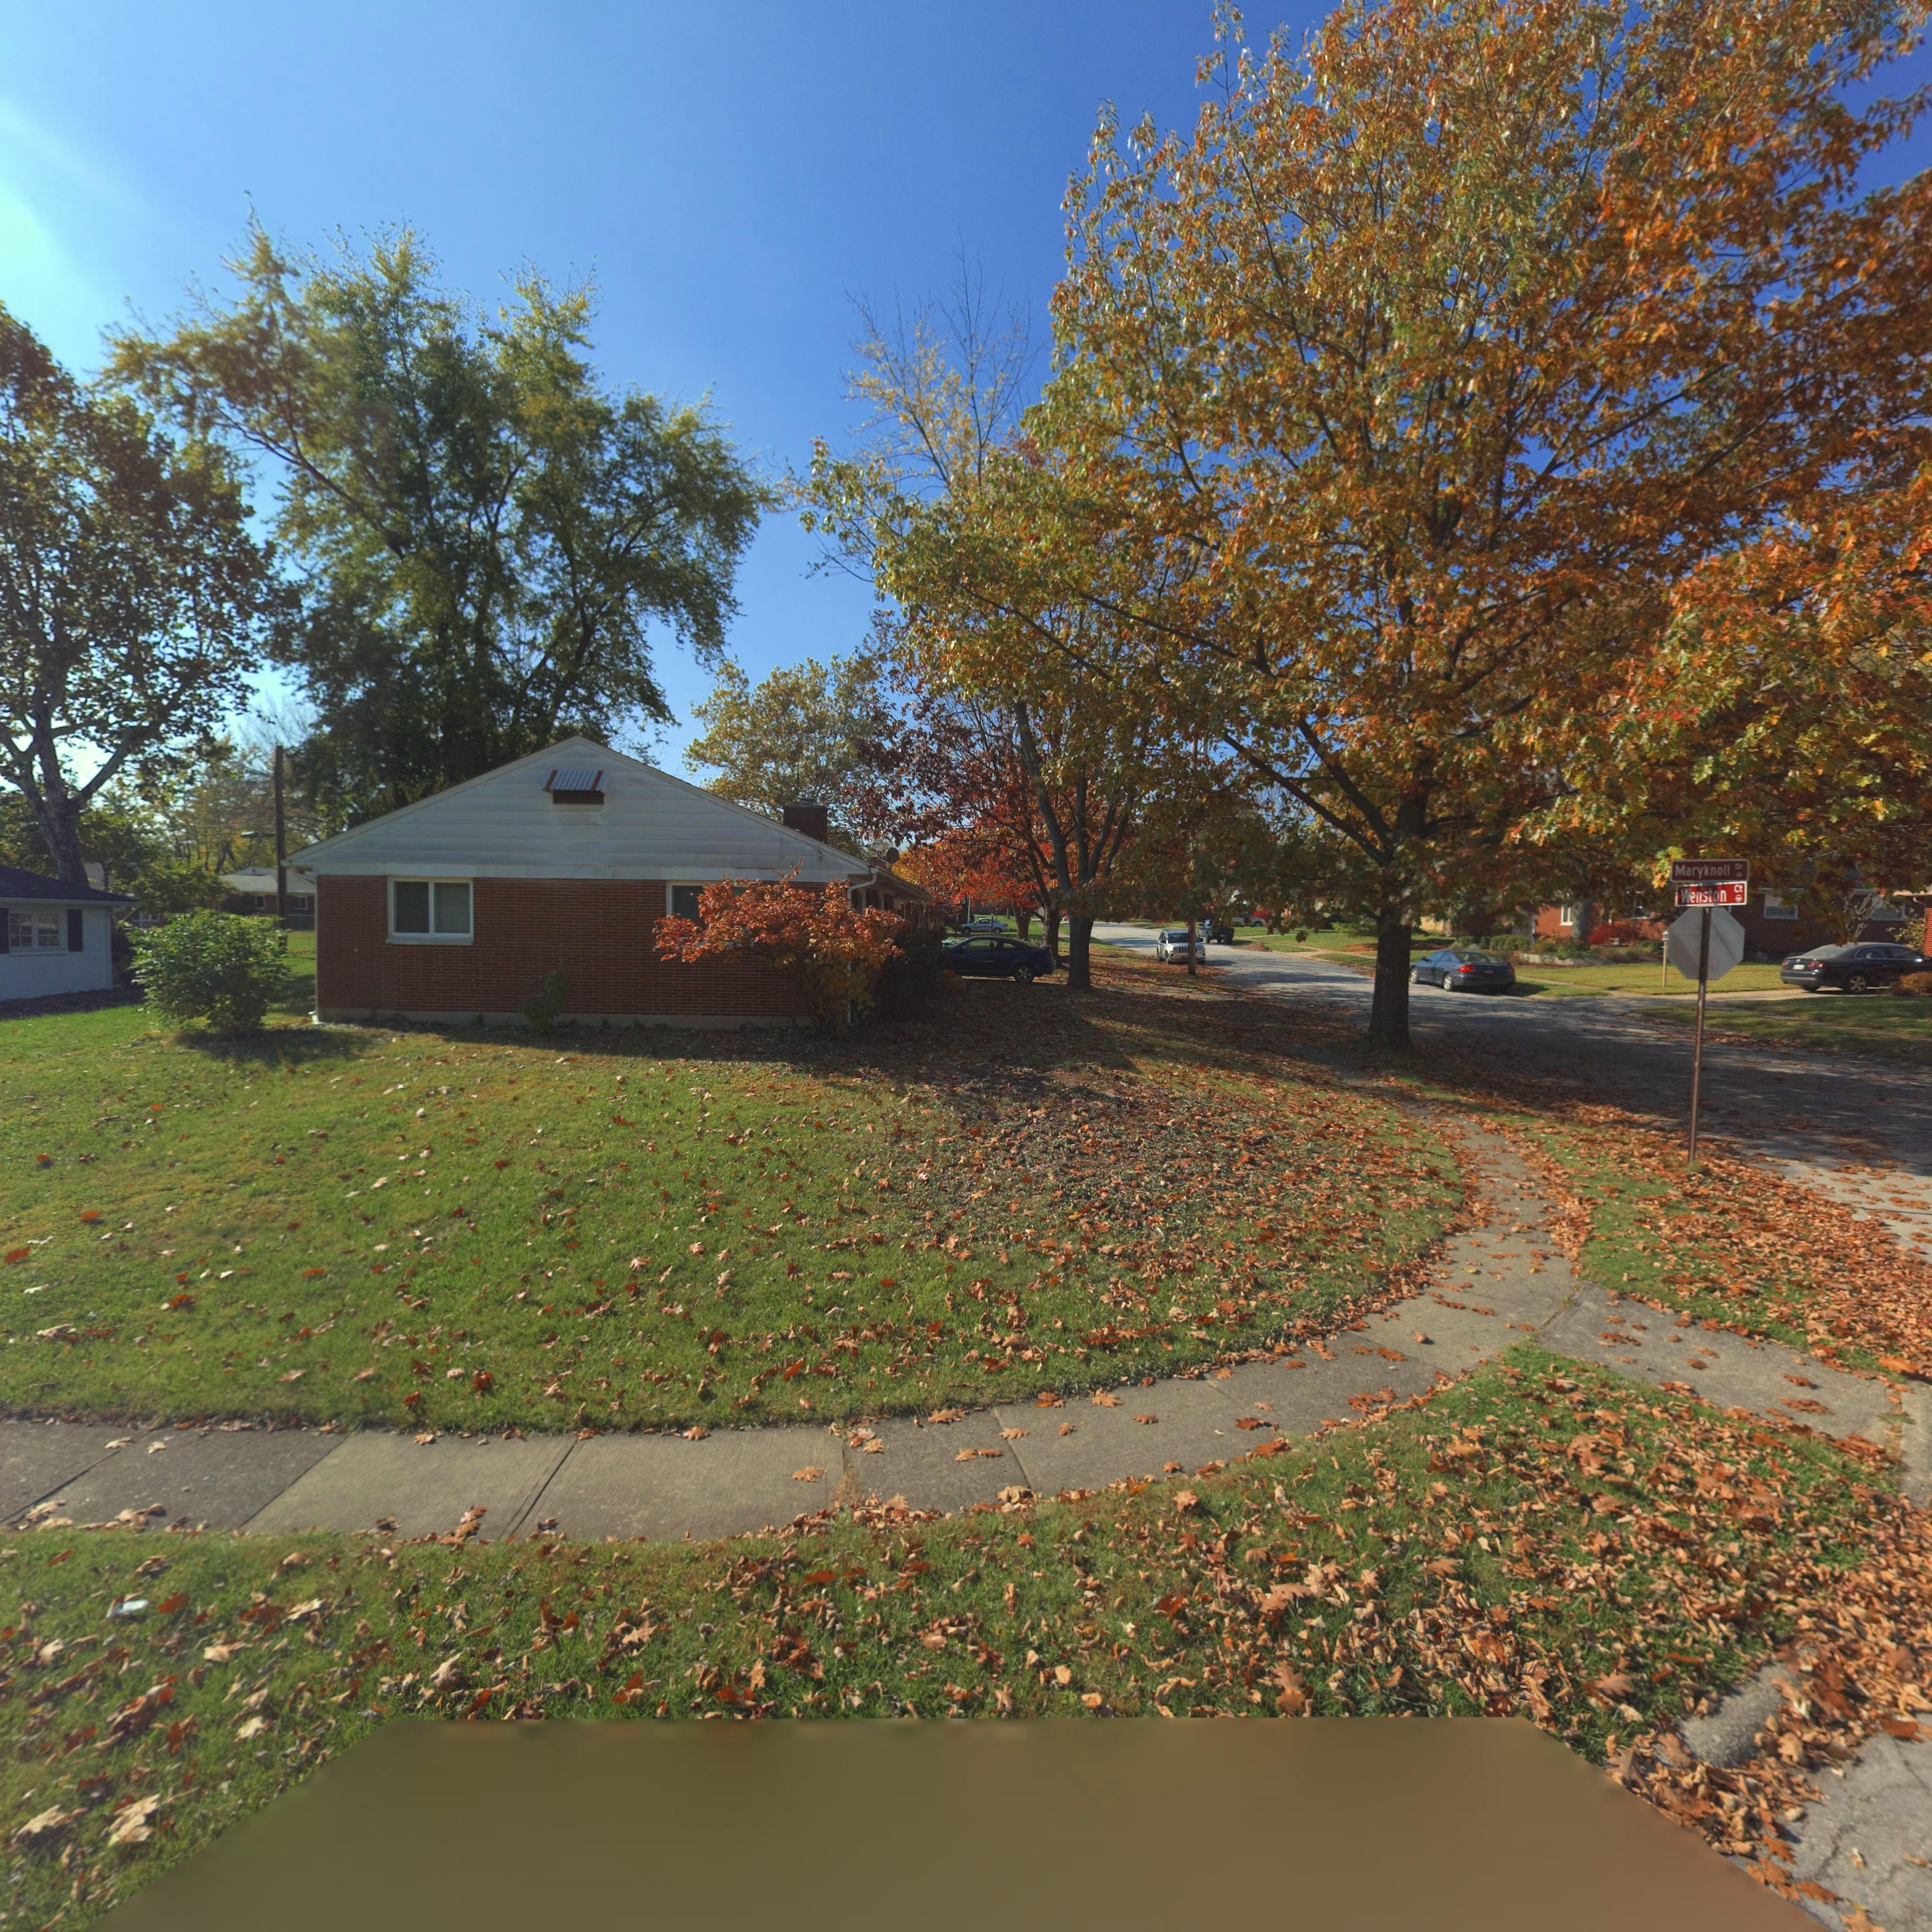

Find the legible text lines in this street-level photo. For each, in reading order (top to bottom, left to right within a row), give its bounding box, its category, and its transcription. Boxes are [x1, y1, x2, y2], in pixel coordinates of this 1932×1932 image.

[1674, 862, 1744, 880] StreetName: Maryknoll Dr
[1681, 884, 1744, 904] StreetName: Wenston Ct